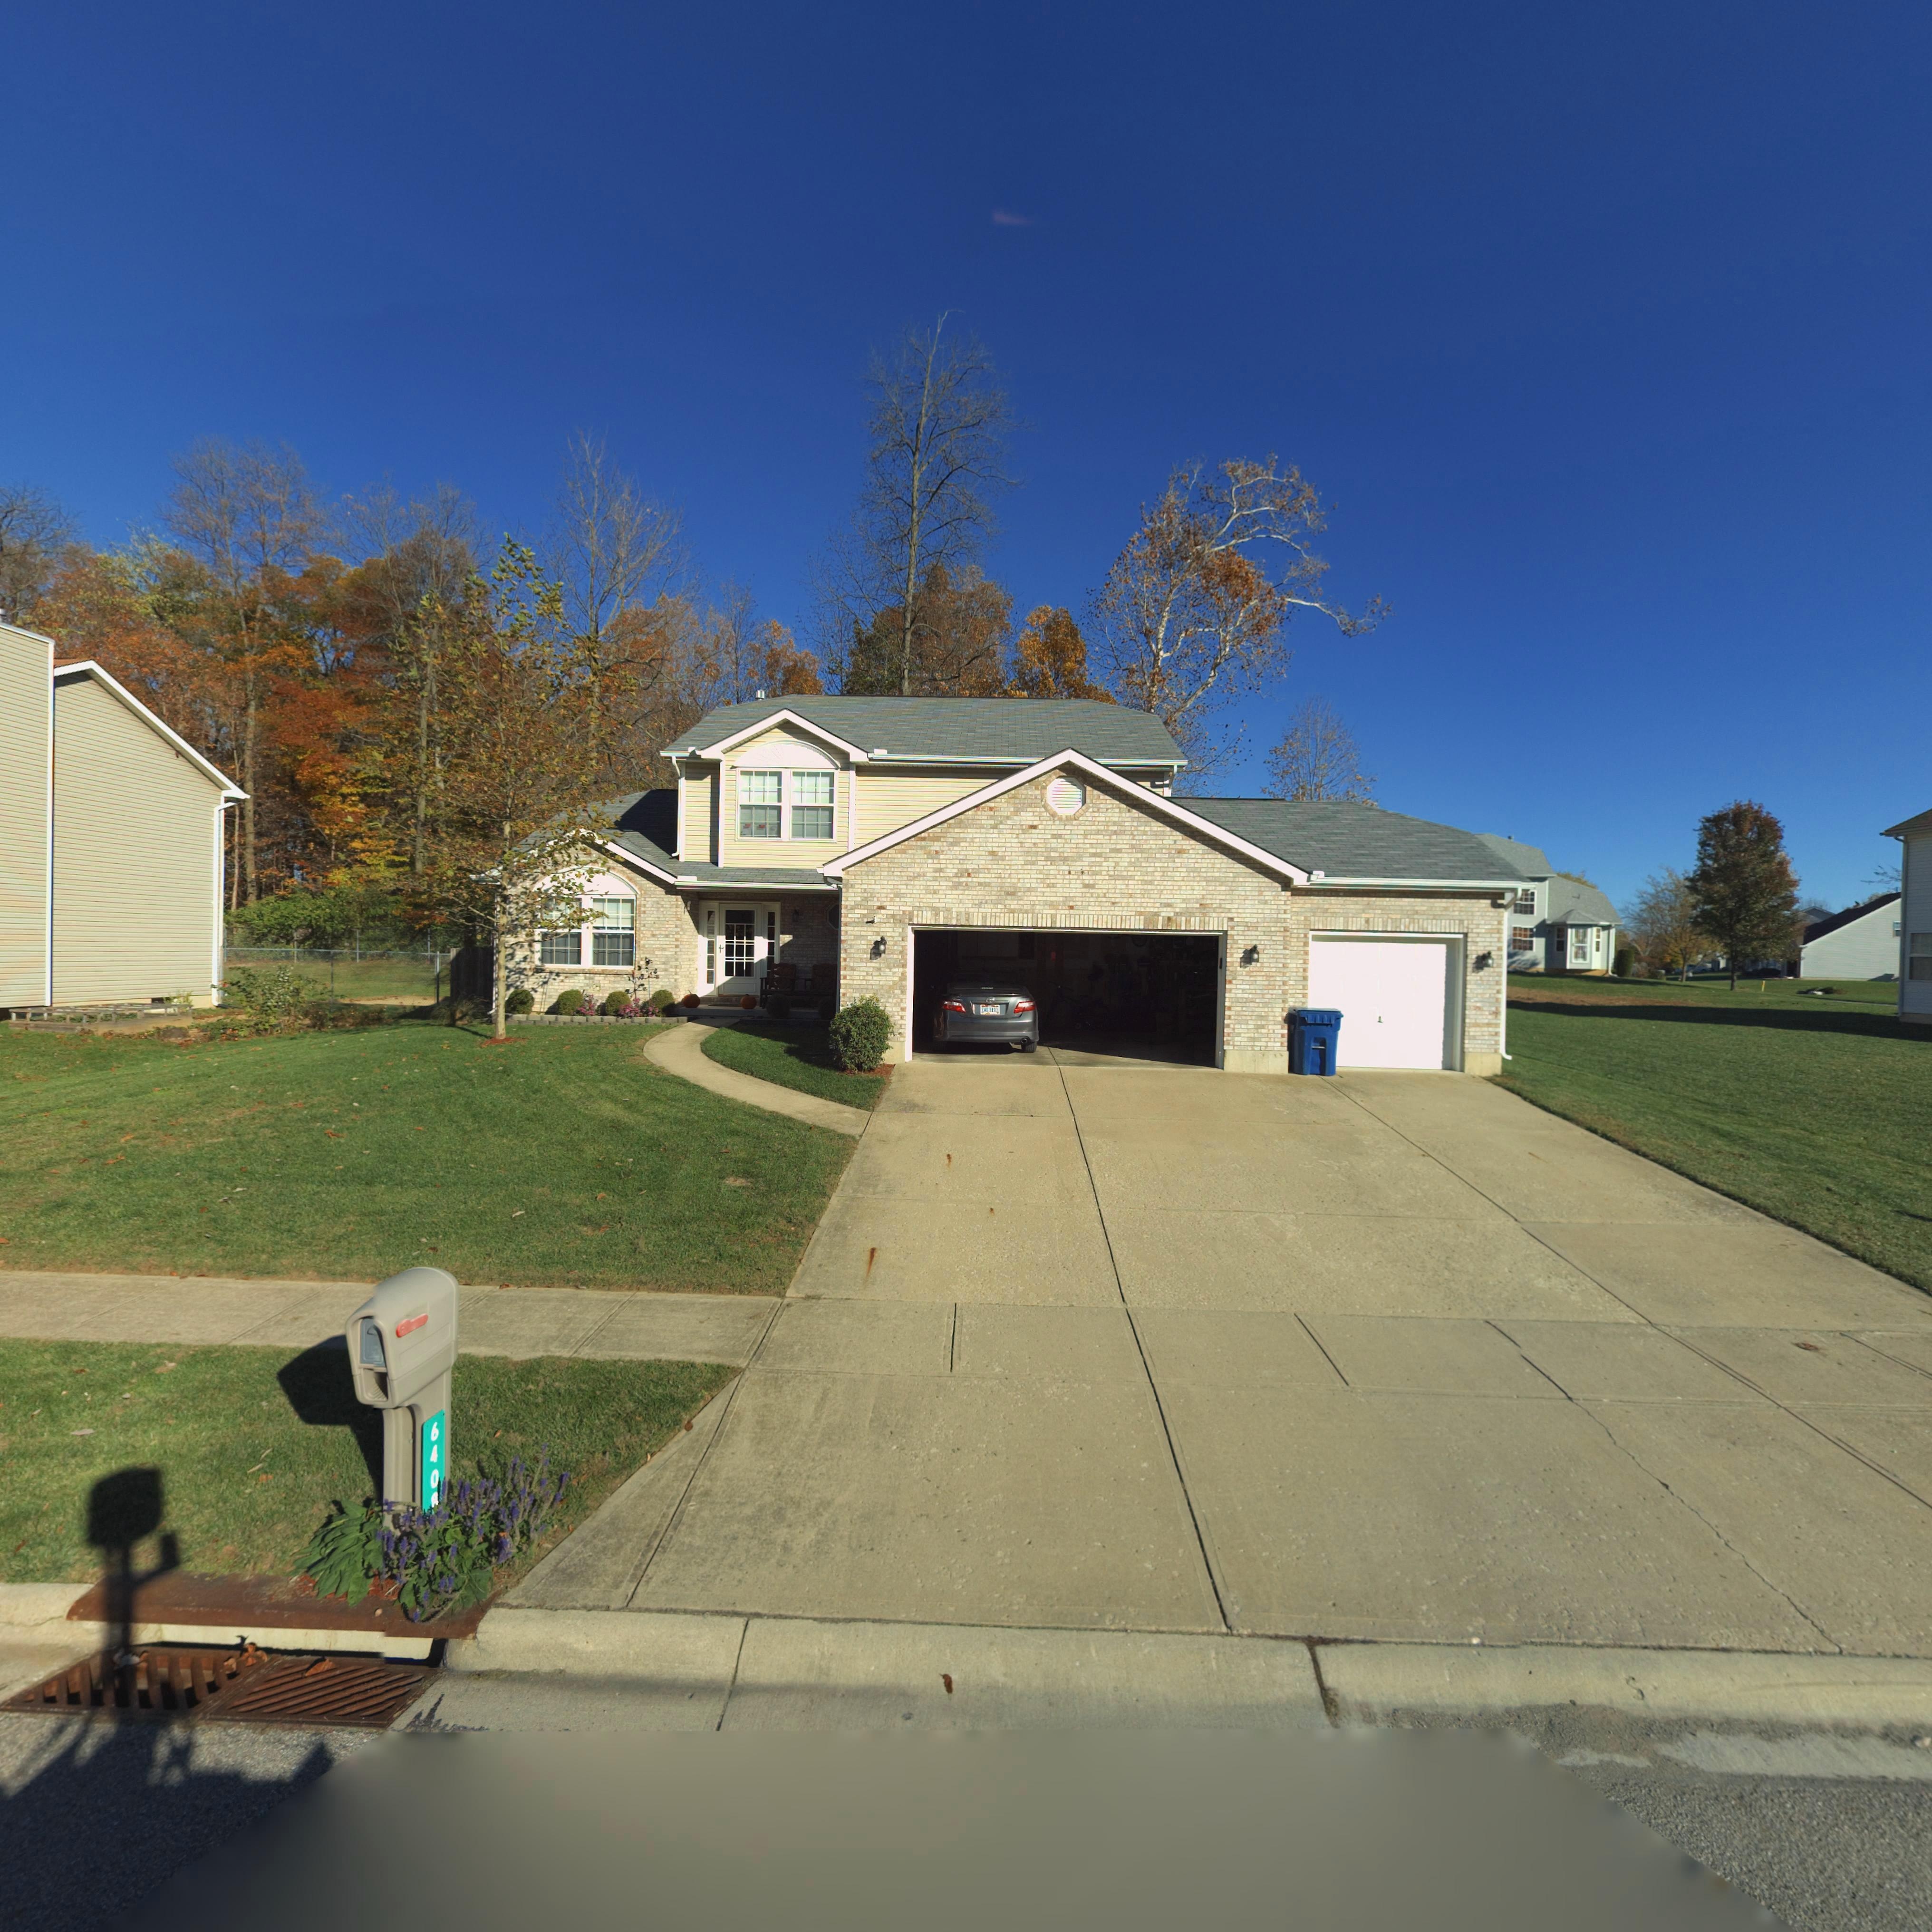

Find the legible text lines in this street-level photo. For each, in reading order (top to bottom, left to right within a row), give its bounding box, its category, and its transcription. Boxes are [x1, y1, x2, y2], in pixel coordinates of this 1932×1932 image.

[429, 1419, 441, 1510] StreetNumber: 640*